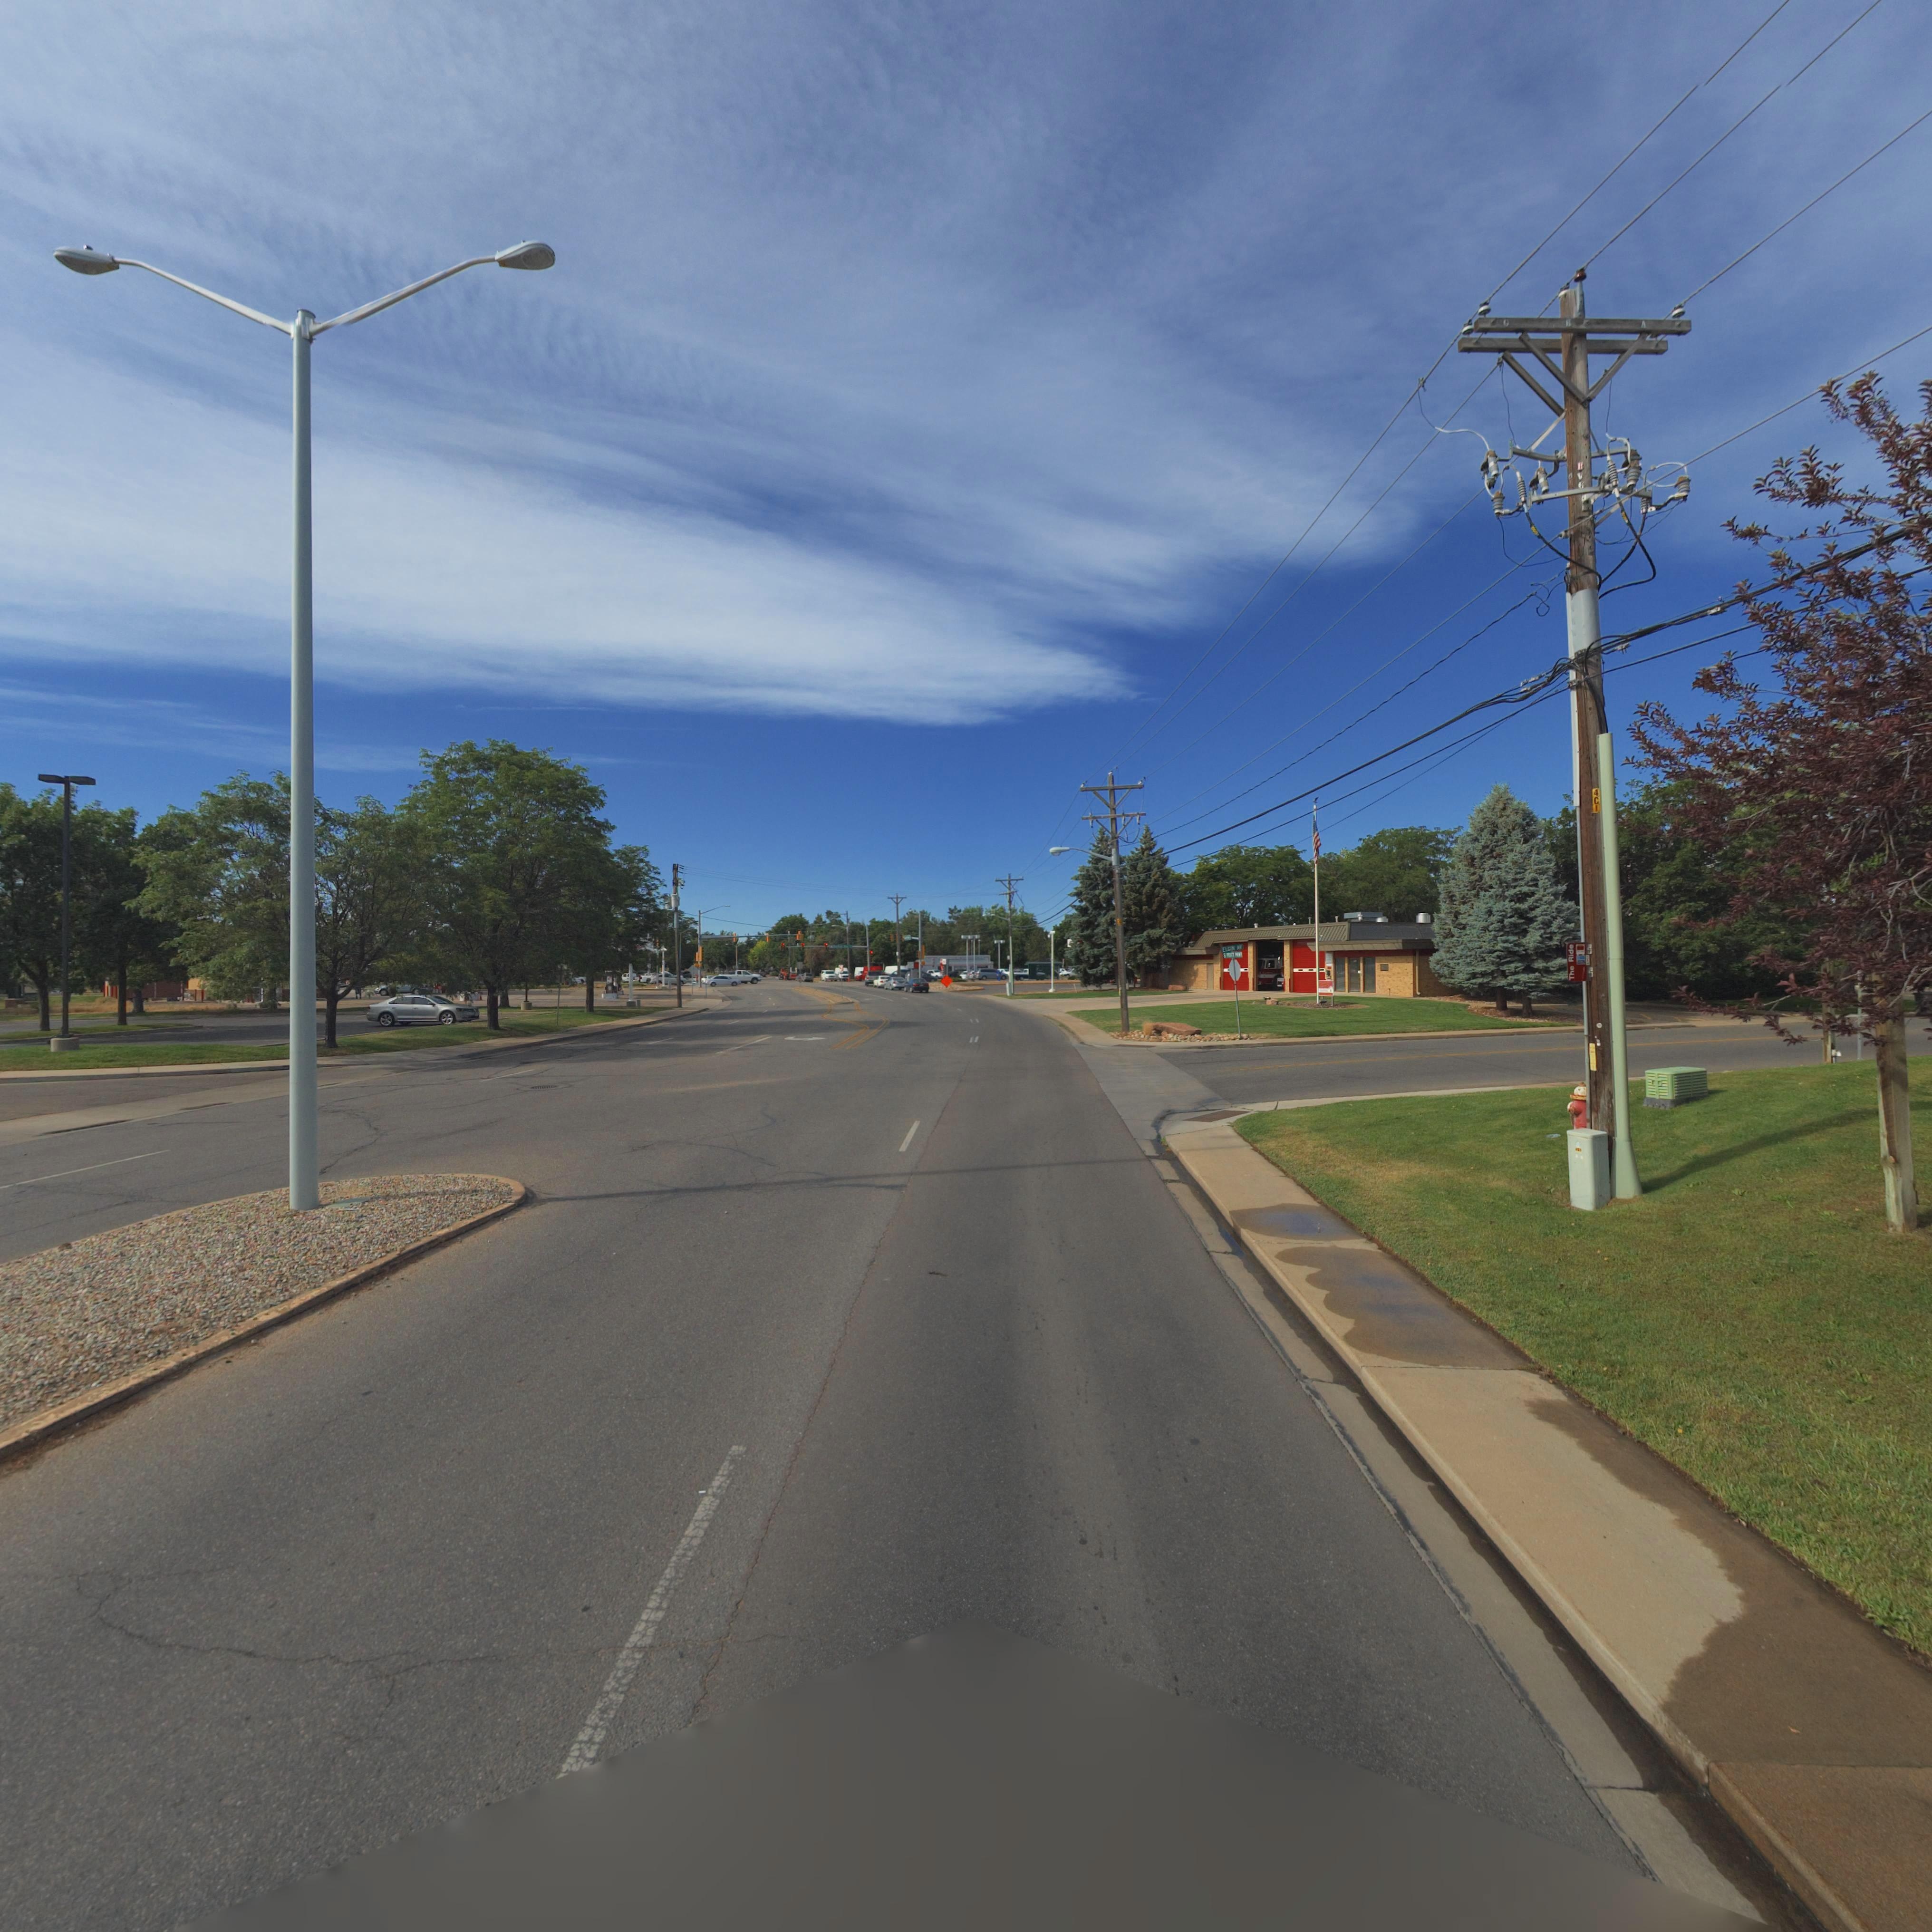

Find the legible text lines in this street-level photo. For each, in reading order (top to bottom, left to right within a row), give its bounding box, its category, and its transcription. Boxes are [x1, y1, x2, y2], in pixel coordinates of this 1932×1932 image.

[1222, 944, 1242, 952] StreetName: ELGIN AV
[1223, 952, 1242, 958] StreetName: S P**** ****